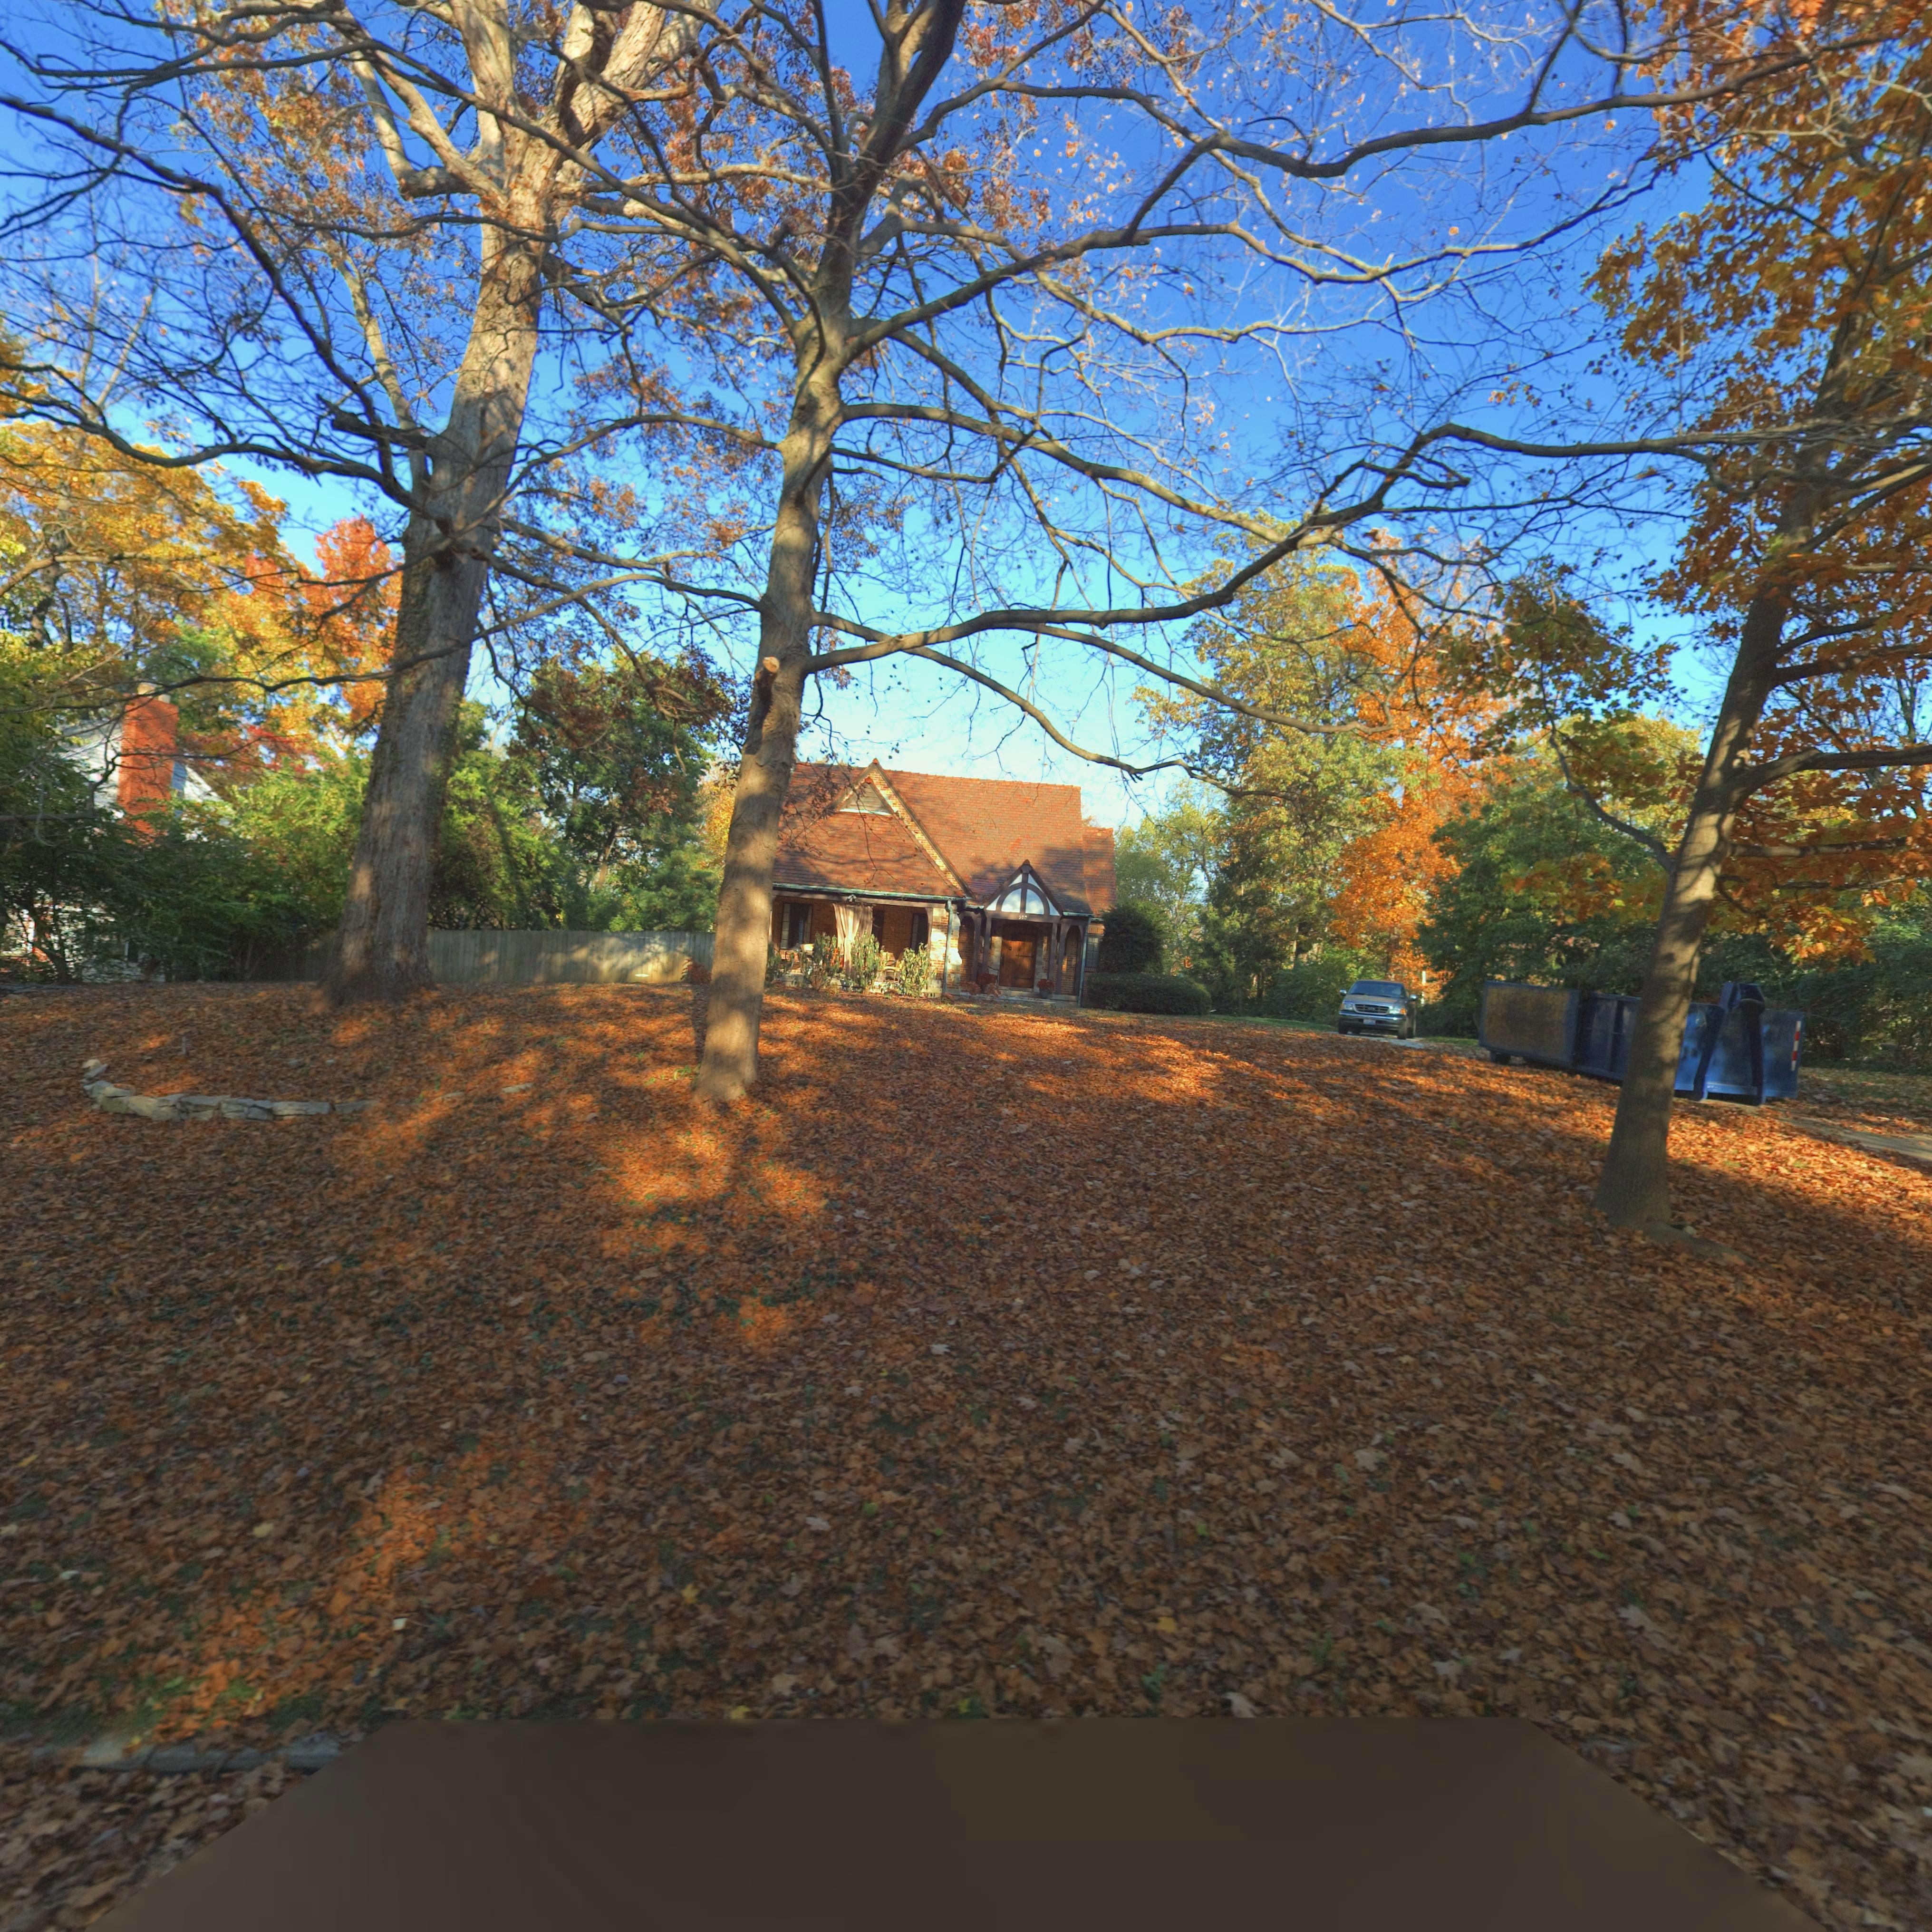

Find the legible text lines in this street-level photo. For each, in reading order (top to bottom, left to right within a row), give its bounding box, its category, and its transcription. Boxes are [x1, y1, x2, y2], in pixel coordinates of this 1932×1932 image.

[1018, 914, 1028, 920] StreetNumber: *00